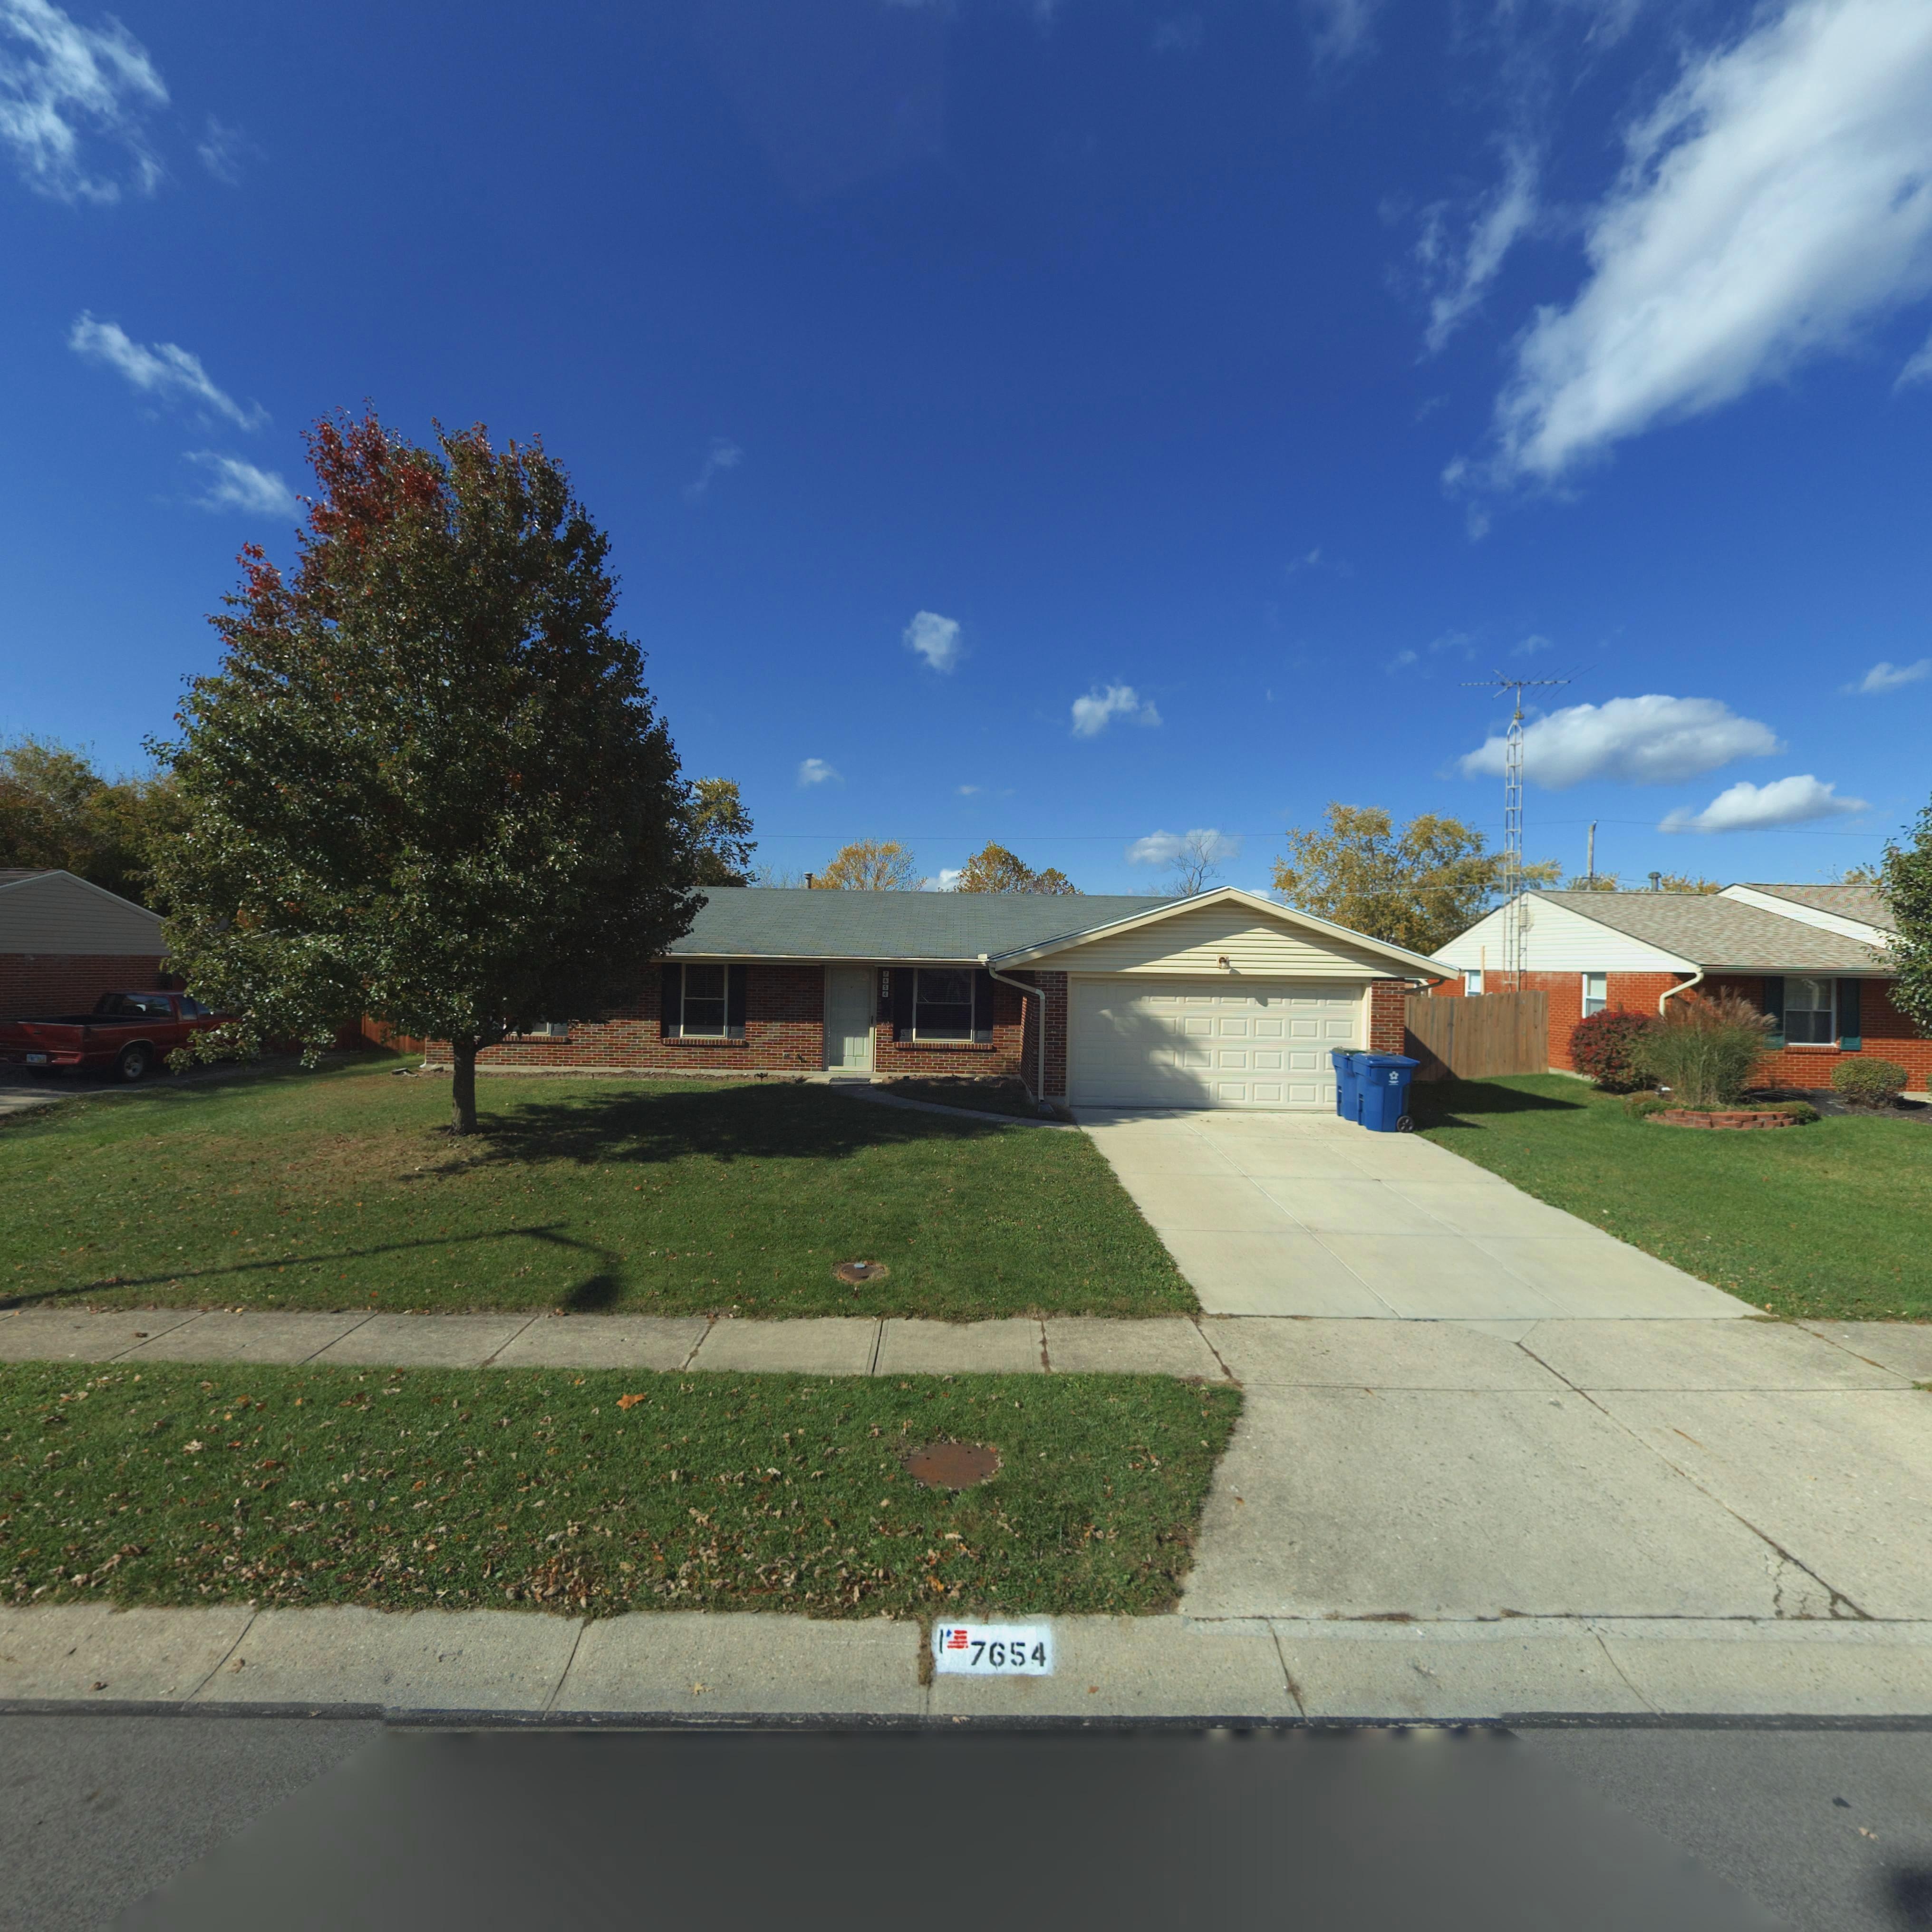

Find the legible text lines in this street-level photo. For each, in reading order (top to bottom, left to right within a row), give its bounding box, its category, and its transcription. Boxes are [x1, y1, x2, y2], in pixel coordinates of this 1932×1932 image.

[882, 970, 889, 997] StreetNumber: 7654
[966, 1638, 1049, 1671] StreetNumber: 7654